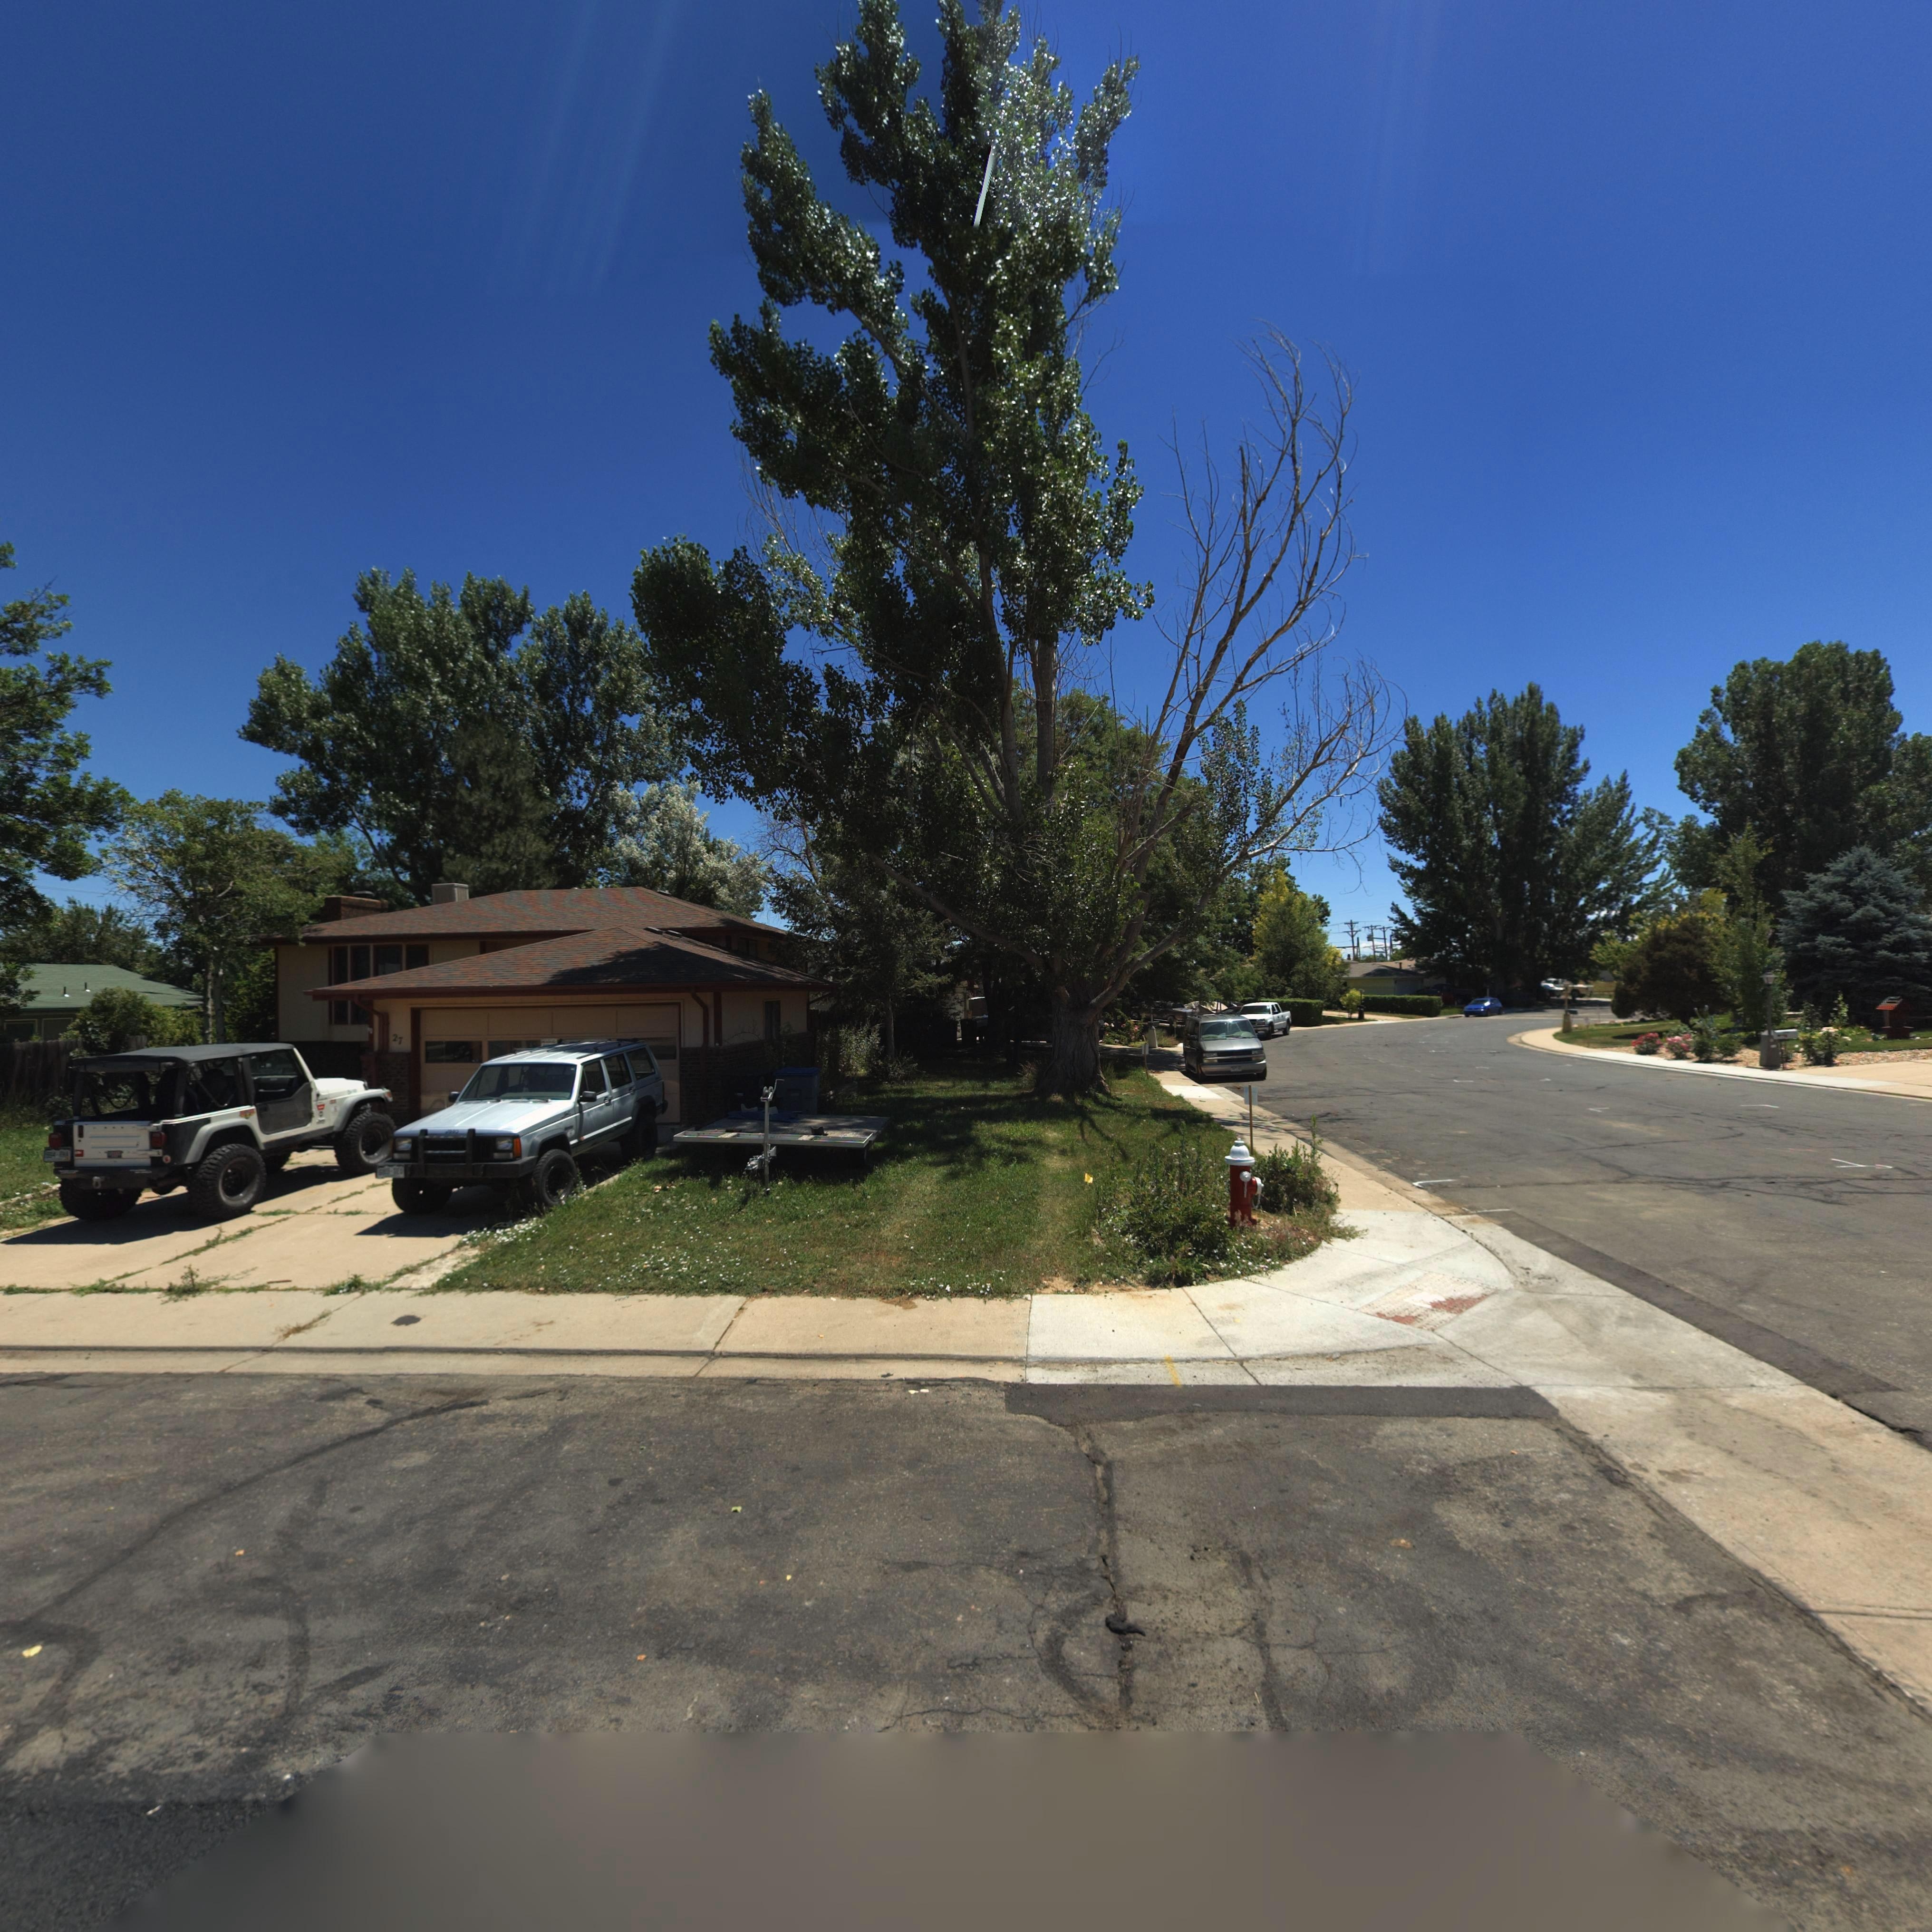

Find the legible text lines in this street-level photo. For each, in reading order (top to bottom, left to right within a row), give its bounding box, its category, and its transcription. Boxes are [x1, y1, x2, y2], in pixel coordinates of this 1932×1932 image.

[392, 1033, 404, 1044] StreetNumber: 27